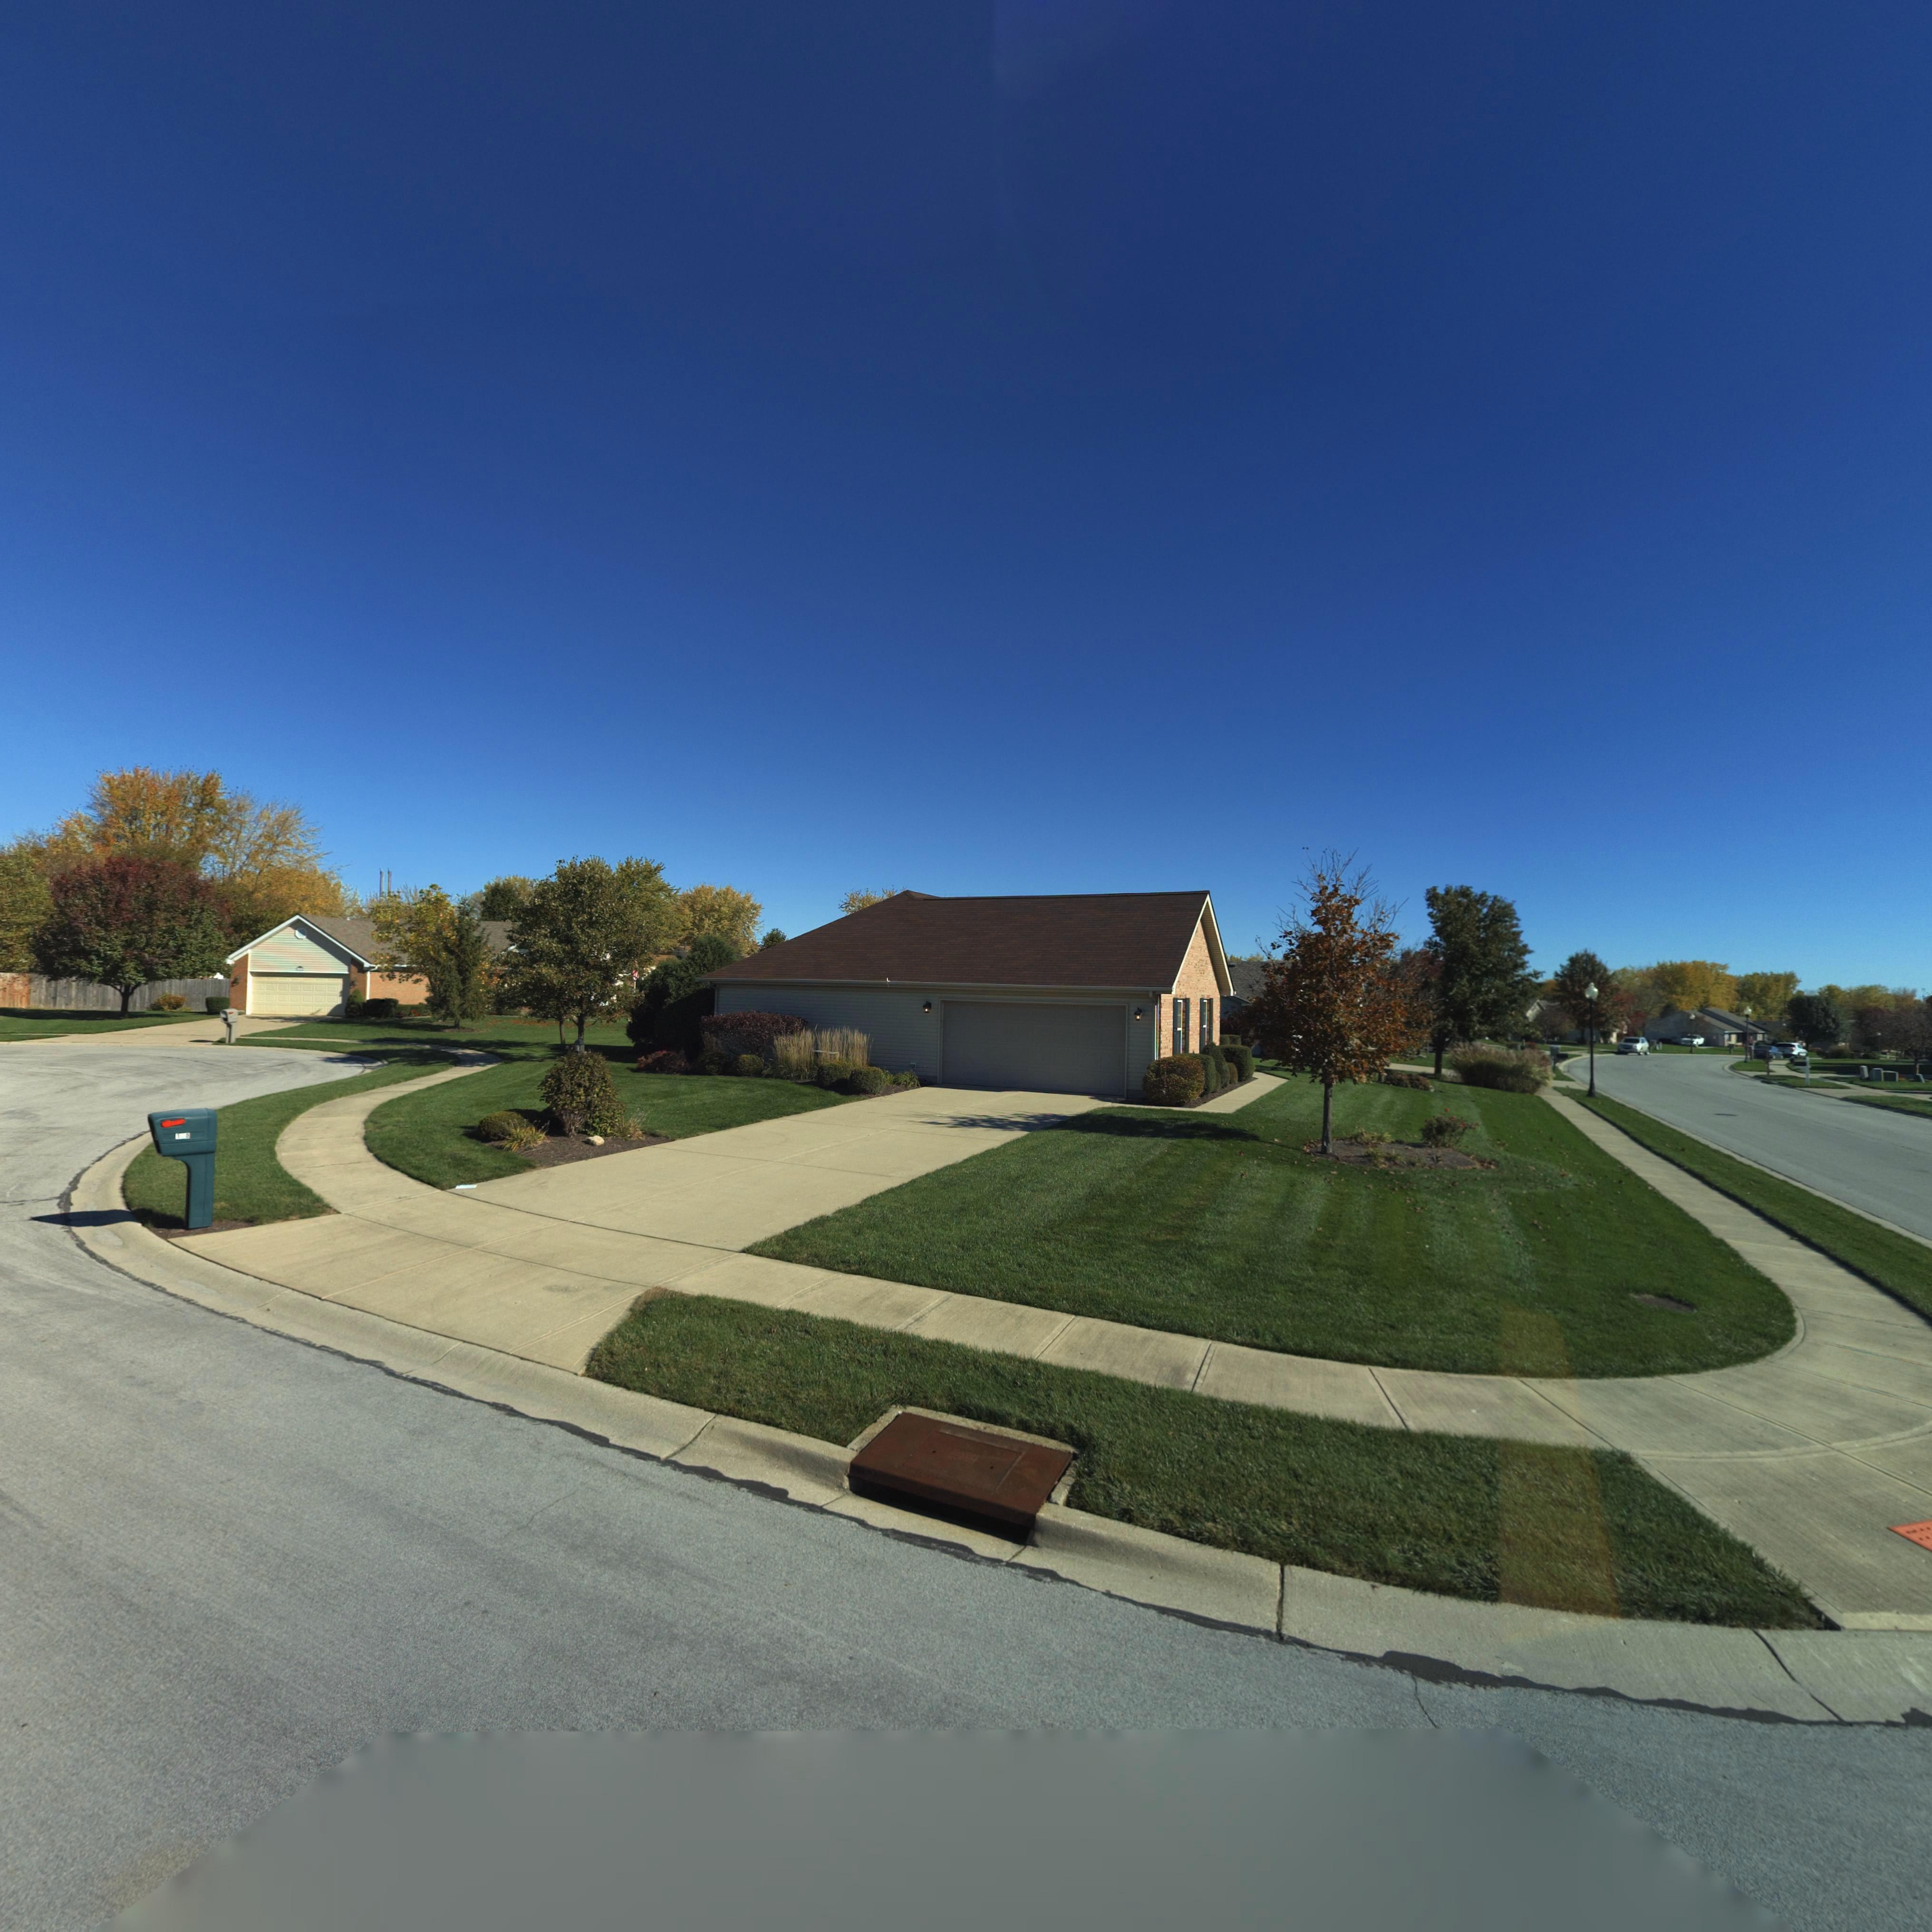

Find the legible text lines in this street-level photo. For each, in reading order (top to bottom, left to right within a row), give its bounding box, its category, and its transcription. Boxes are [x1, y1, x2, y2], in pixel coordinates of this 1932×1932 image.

[177, 1132, 189, 1139] StreetNumber: 1*8